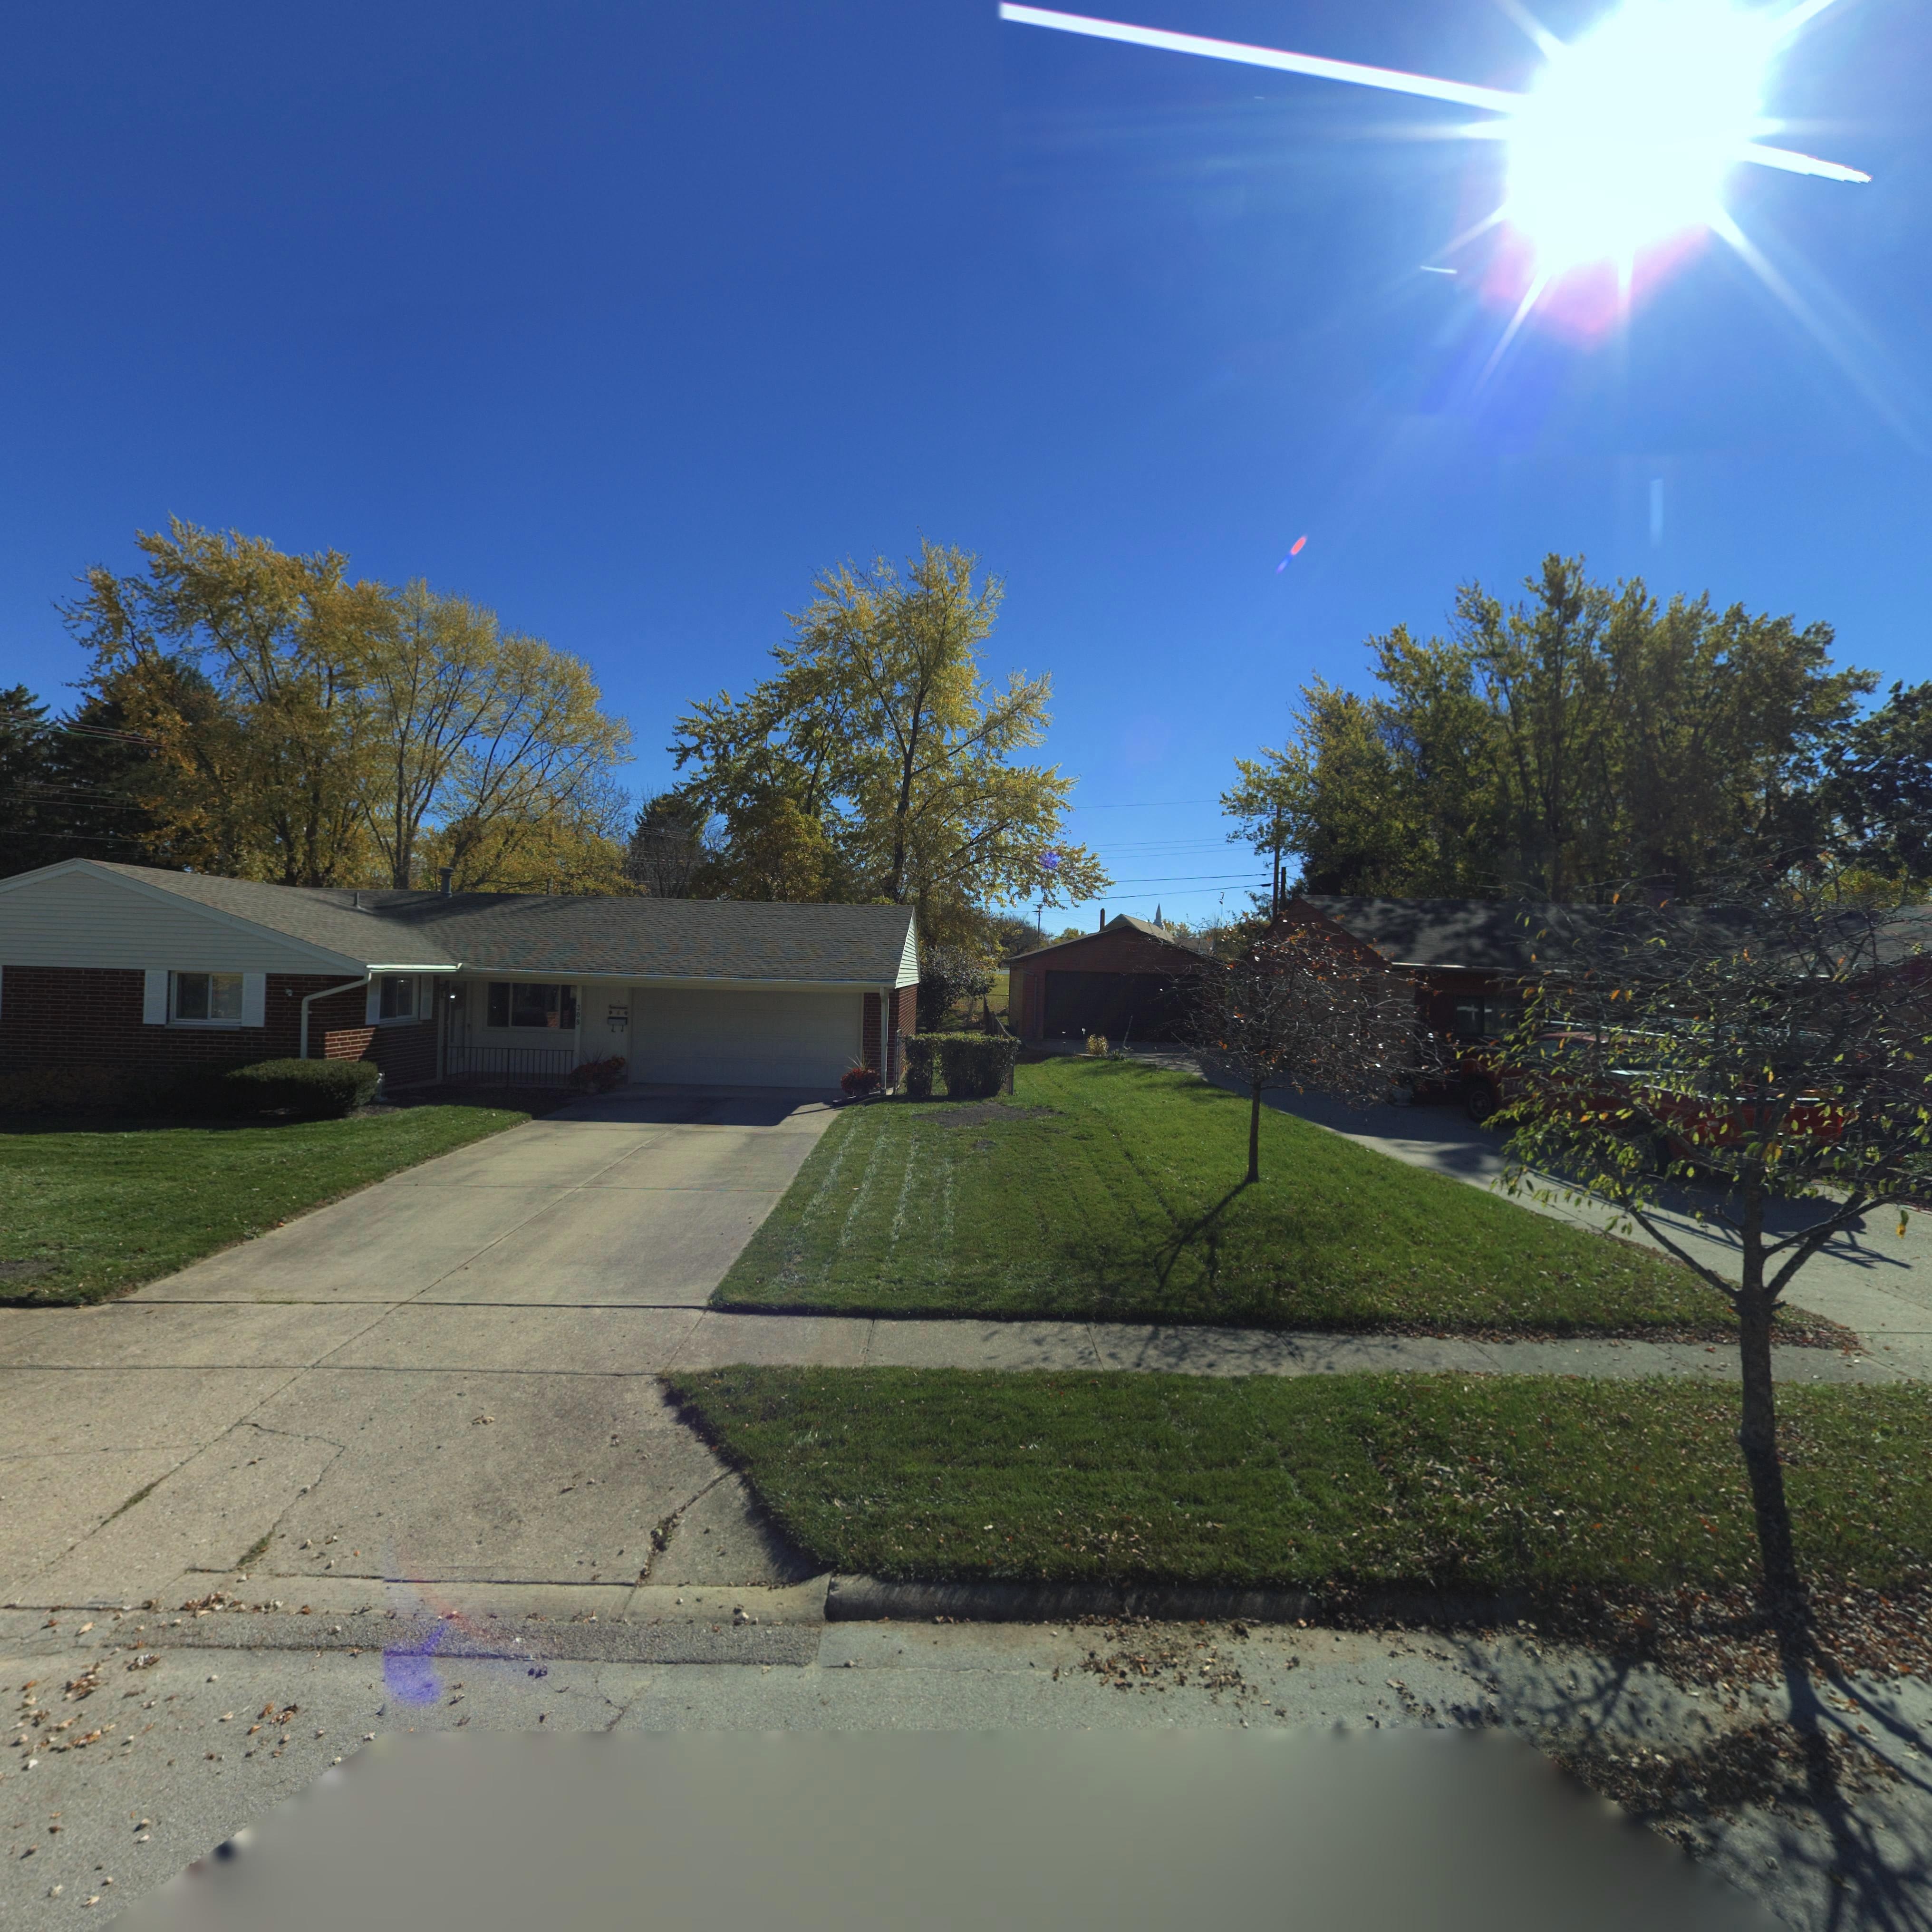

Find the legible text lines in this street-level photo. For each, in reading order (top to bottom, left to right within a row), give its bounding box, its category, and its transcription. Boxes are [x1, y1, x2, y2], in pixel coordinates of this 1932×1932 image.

[575, 1004, 582, 1026] StreetNumber: 308